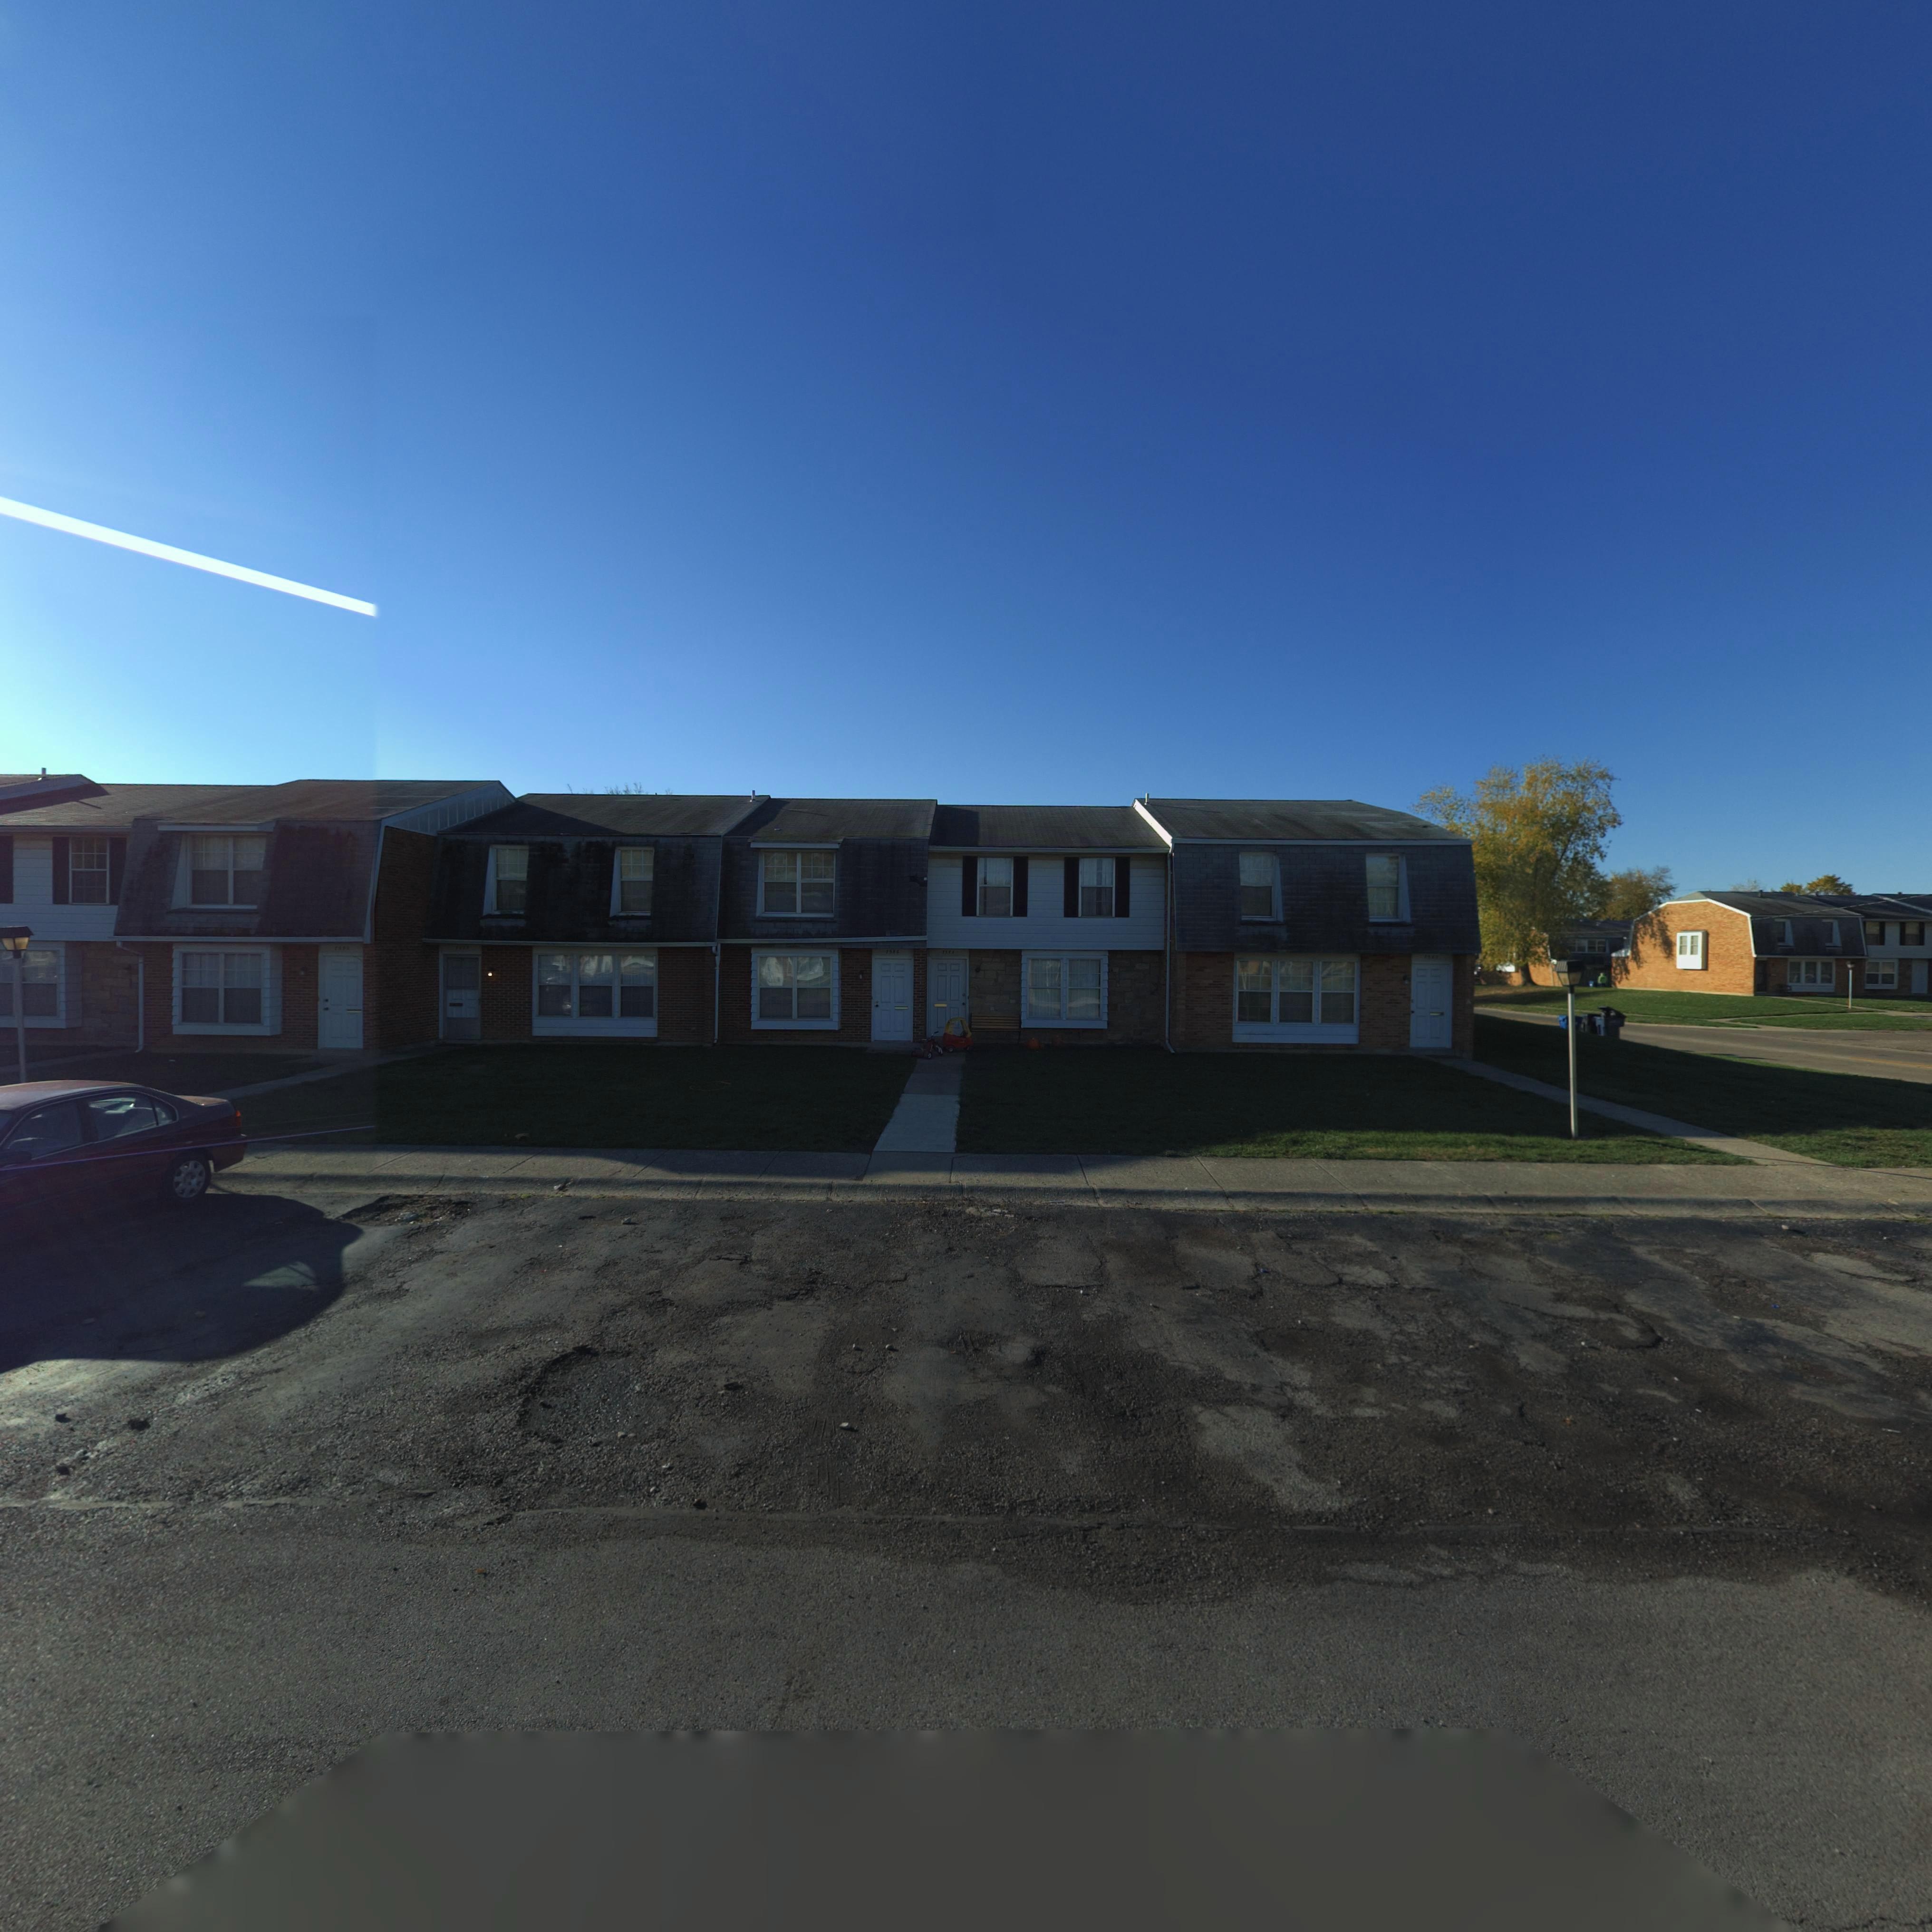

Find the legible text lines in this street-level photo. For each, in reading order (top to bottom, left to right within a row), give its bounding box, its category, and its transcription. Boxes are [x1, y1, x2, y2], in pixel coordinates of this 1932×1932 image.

[333, 945, 350, 951] StreetNumber: 7*9*
[454, 945, 470, 950] StreetNumber: 7588
[885, 949, 900, 955] StreetNumber: 7586
[941, 949, 955, 955] StreetNumber: 7584
[1423, 954, 1439, 960] StreetNumber: **82